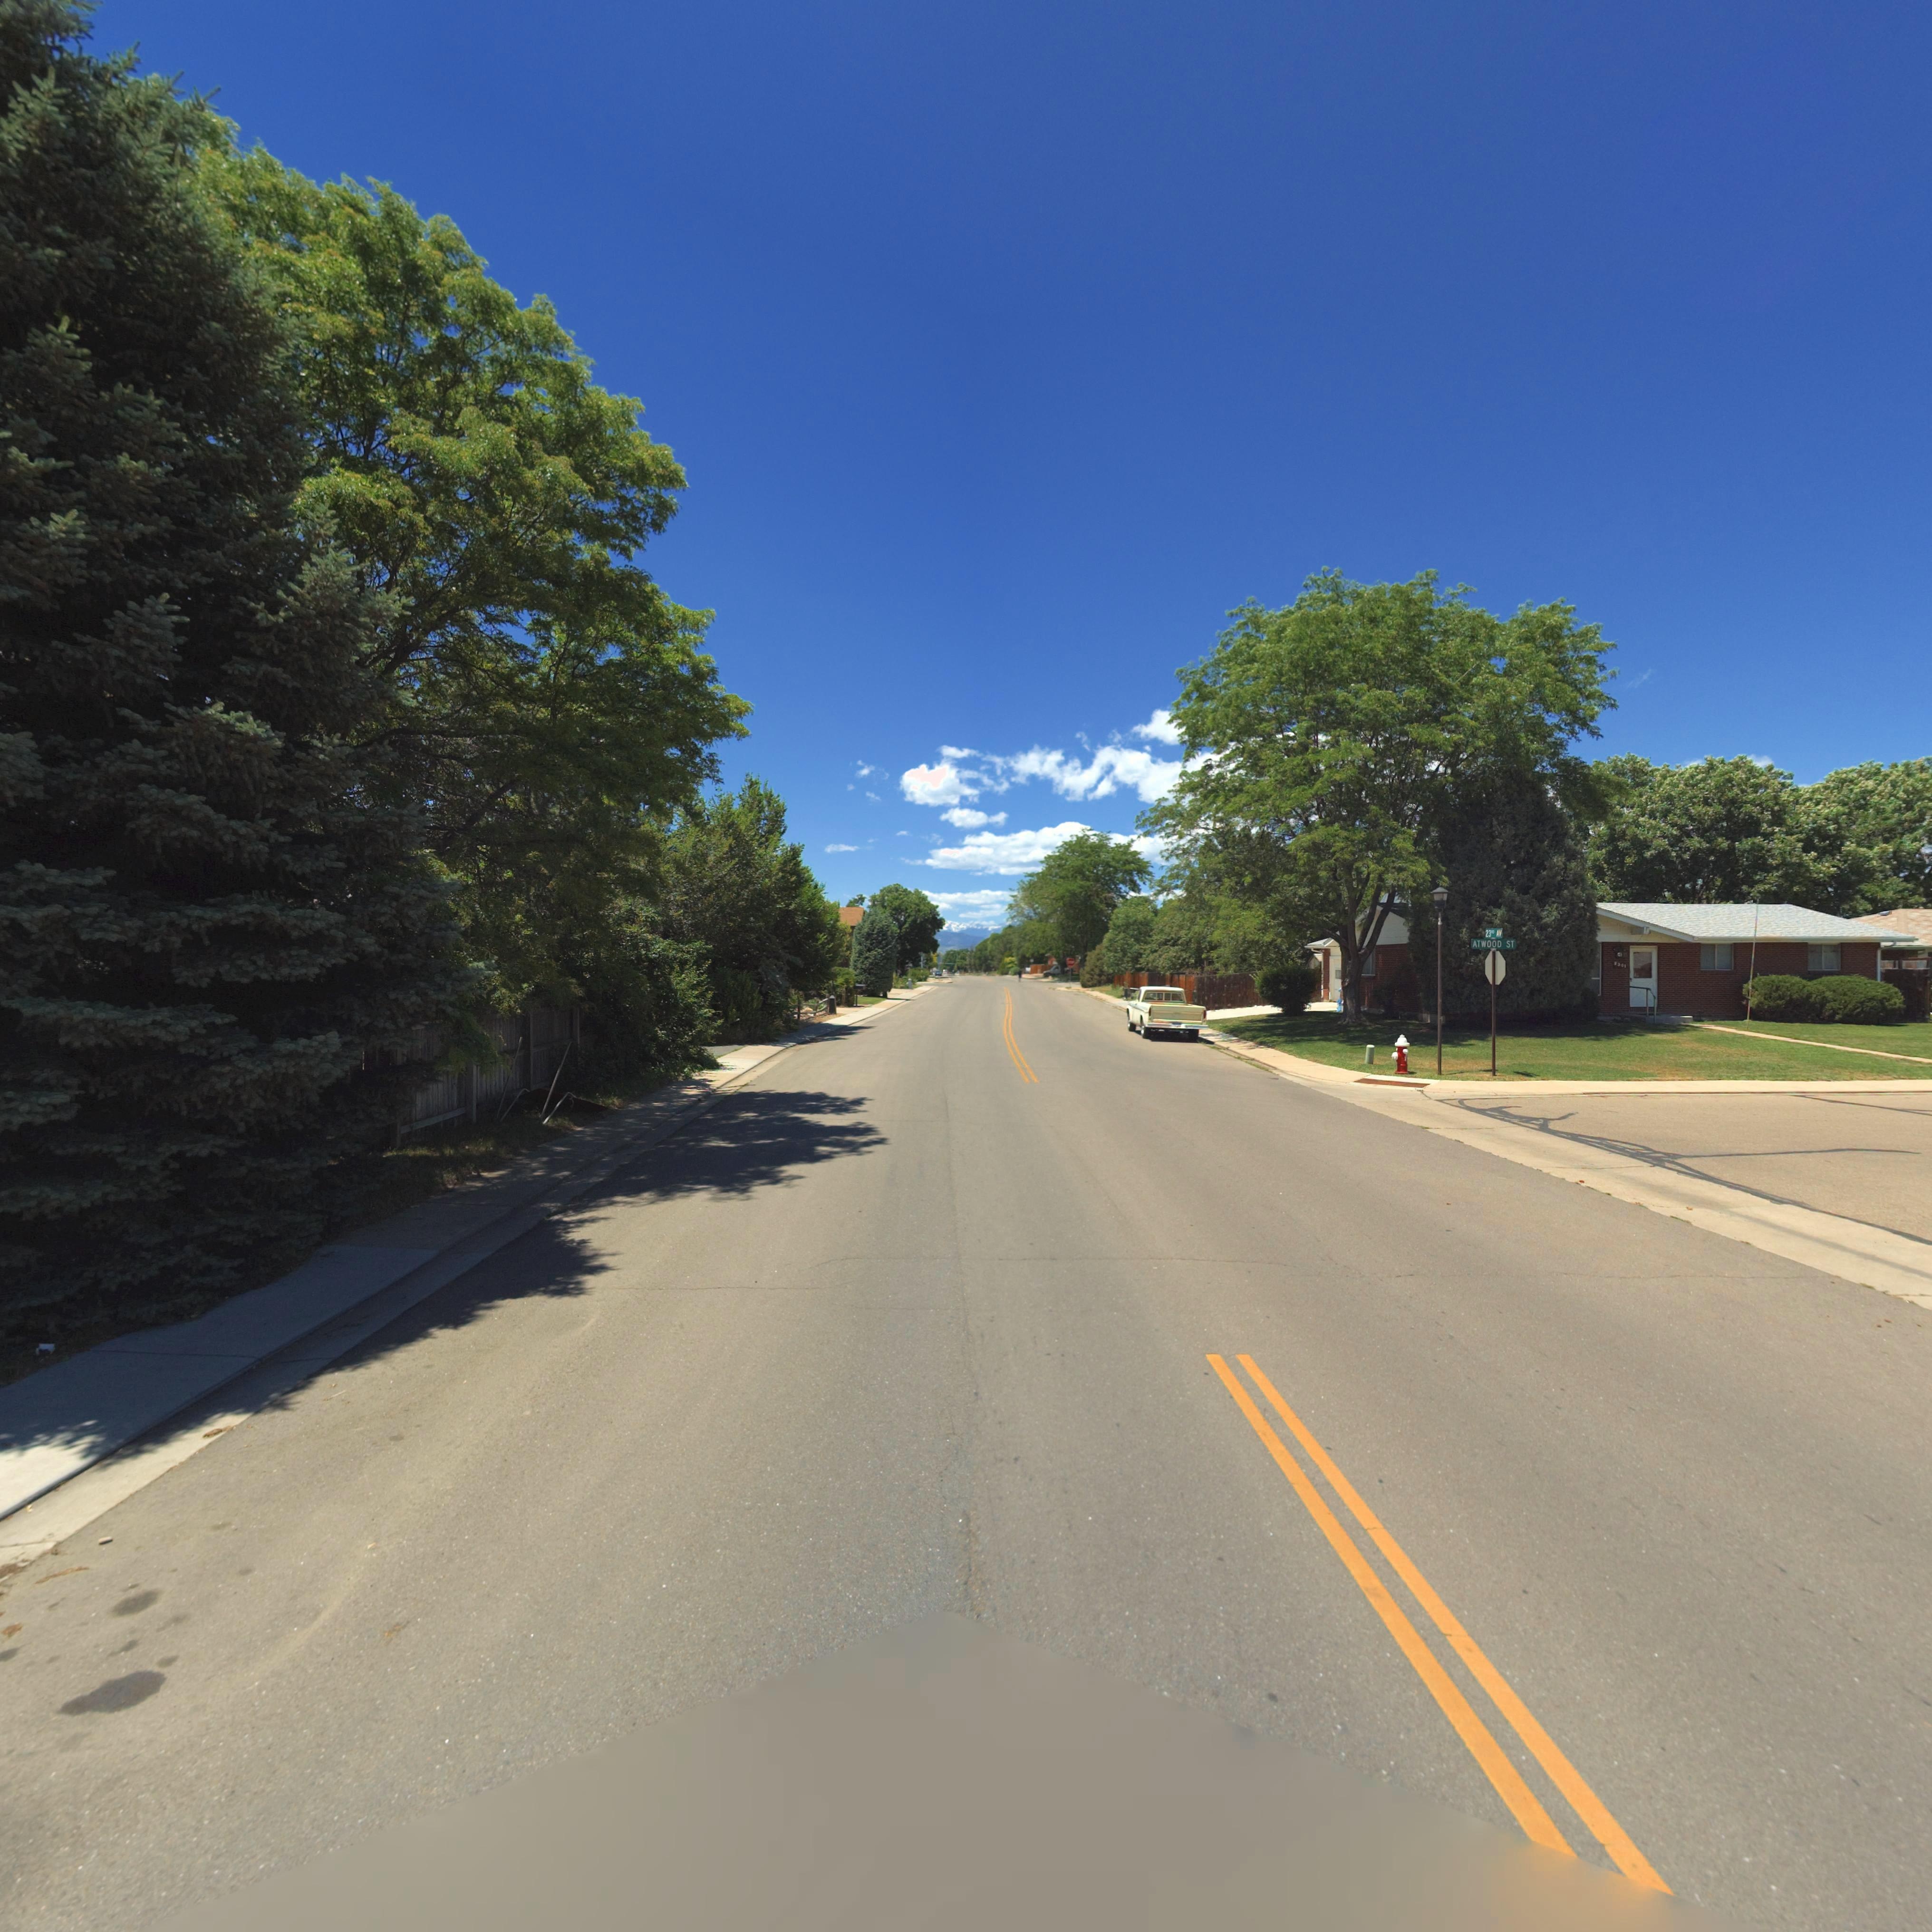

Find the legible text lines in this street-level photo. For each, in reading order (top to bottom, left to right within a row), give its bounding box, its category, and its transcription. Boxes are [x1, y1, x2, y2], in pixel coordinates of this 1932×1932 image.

[1485, 929, 1502, 937] StreetName: 23** AV
[1472, 939, 1515, 948] StreetName: ATWOOD ST
[1613, 961, 1626, 968] StreetNumber: *301